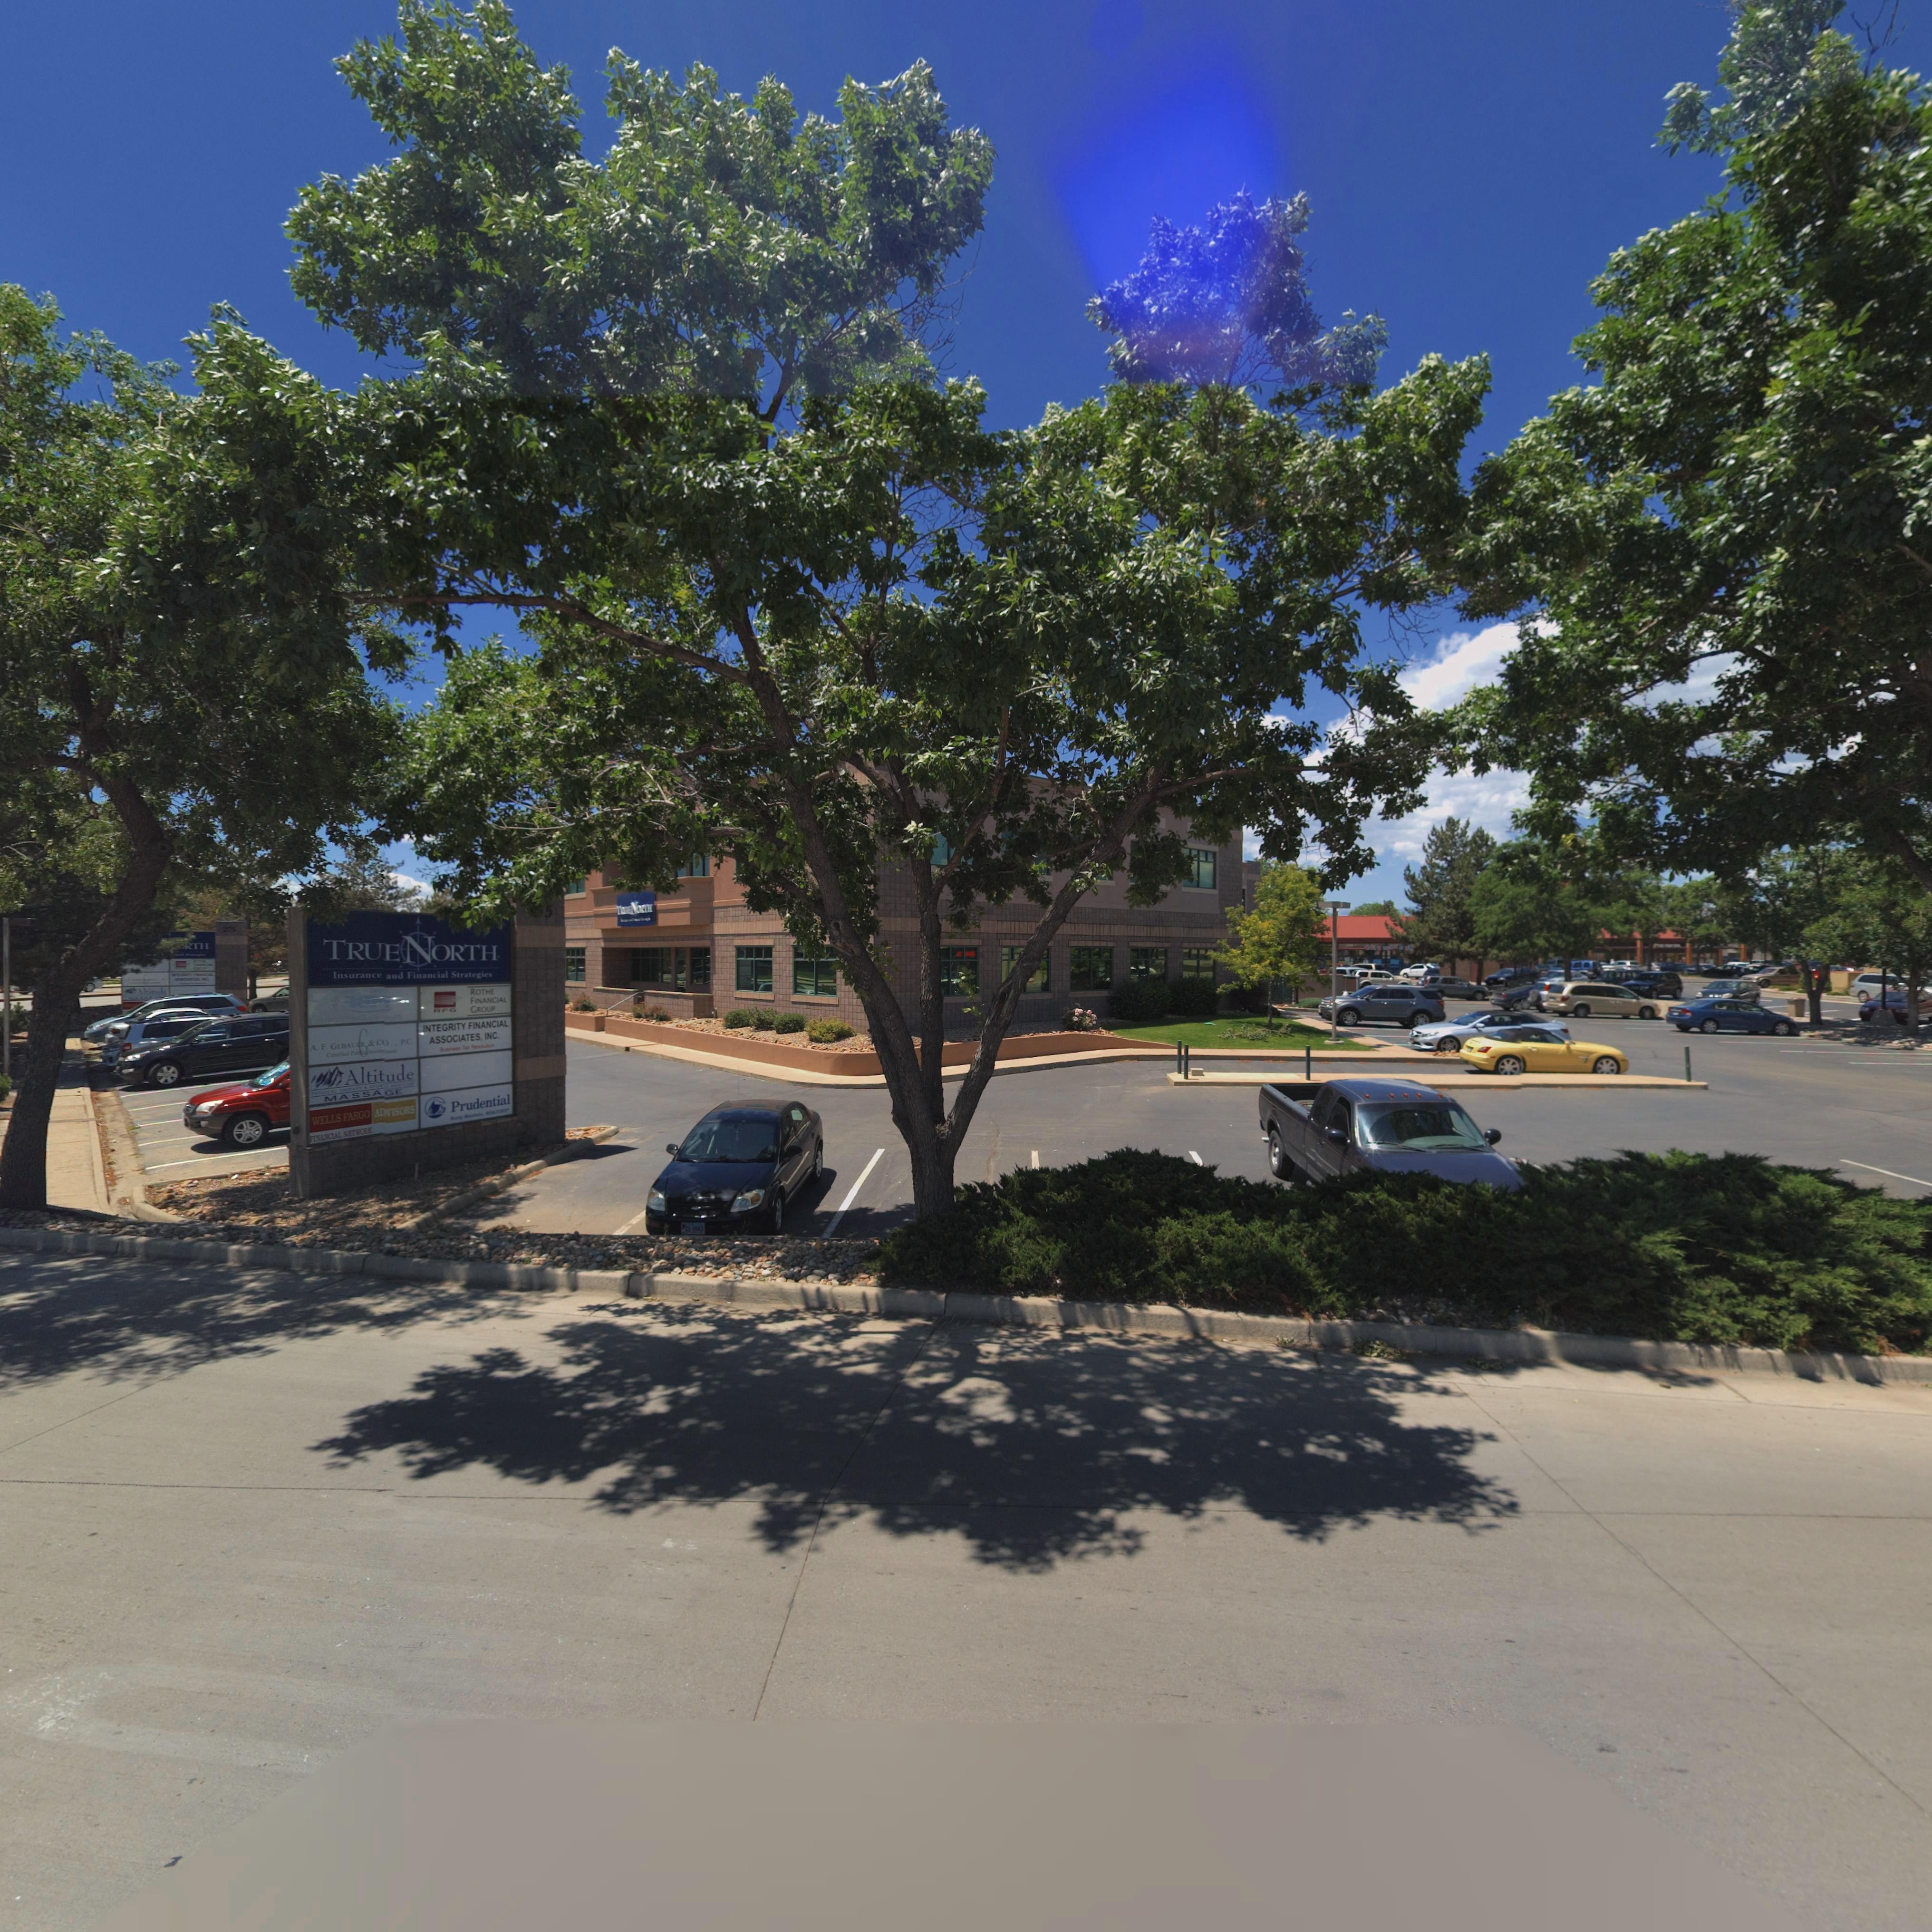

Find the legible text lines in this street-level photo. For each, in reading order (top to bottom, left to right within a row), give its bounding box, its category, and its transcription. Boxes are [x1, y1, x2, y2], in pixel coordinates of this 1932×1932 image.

[616, 901, 653, 915] BusinessName: T*UENORTH
[184, 941, 209, 950] BusinessName: RTH
[322, 935, 500, 964] BusinessName: TRUE NORTH
[333, 970, 493, 979] BusinessName: Insurance and Financial Strategies
[136, 986, 168, 995] BusinessName: Altitude
[470, 987, 494, 995] BusinessName: ROTHE
[343, 993, 390, 1008] BusinessName: **M
[470, 996, 507, 1004] BusinessName: FINANCIAL
[433, 1007, 456, 1014] BusinessName: RFG
[470, 1005, 495, 1013] BusinessName: GROUP
[422, 1019, 509, 1033] BusinessName: INTEGRITY FINANCIAL
[309, 1037, 413, 1051] BusinessName: A* F* GEBAUER * CO*** P*C*
[427, 1031, 500, 1045] BusinessName: ASSOCIATES* INC*
[342, 1063, 415, 1086] BusinessName: Altitude
[324, 1088, 403, 1102] BusinessName: MASSAGE
[450, 1093, 510, 1112] BusinessName: Prudential
[310, 1104, 415, 1126] BusinessName: WELLS FARGO AD*VISORS